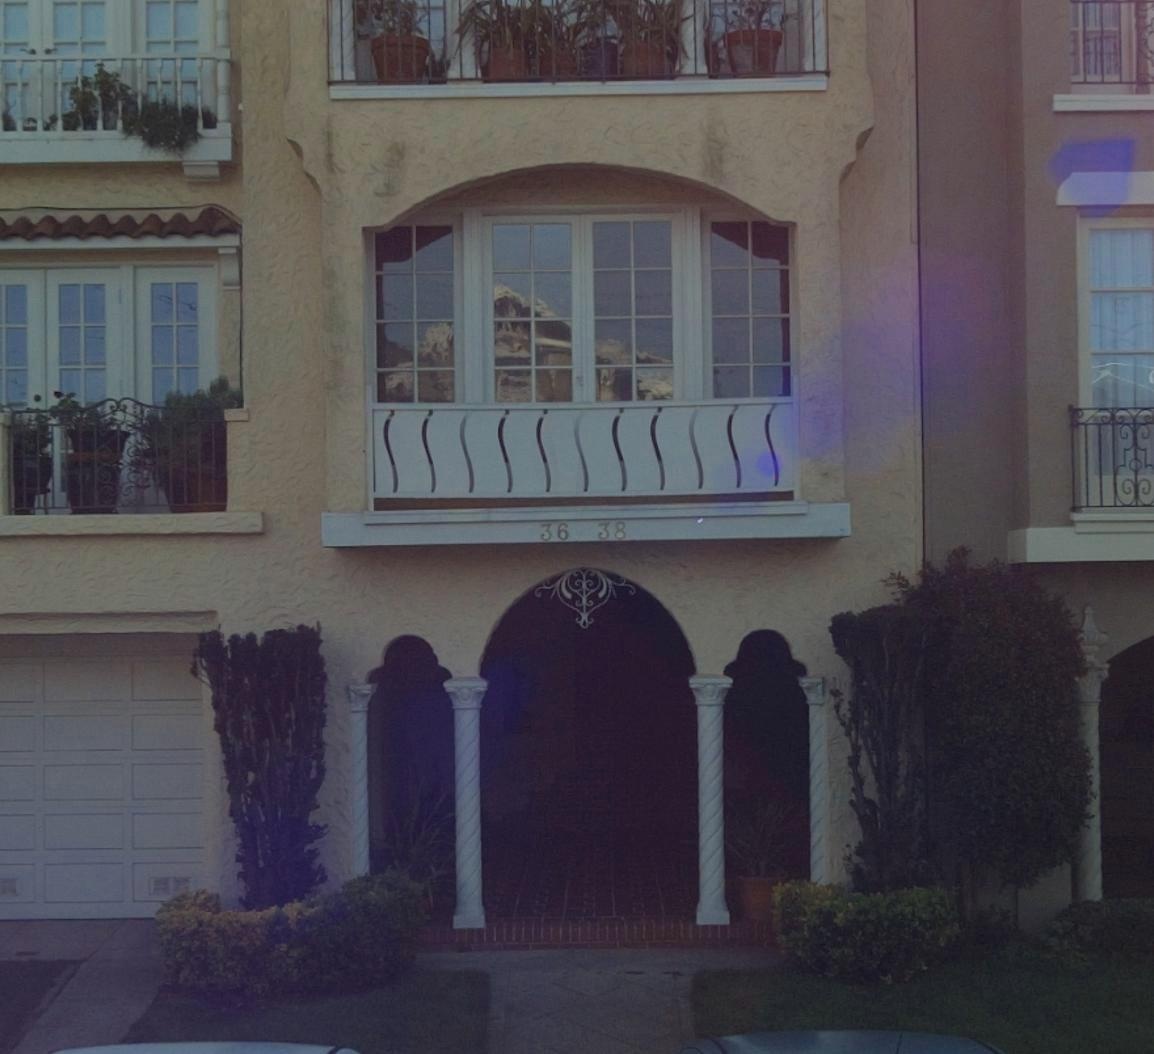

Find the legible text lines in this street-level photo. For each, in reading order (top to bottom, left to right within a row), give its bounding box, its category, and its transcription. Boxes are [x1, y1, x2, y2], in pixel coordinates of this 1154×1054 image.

[538, 520, 572, 543] StreetNumber: 36
[595, 519, 630, 542] StreetNumber: 38